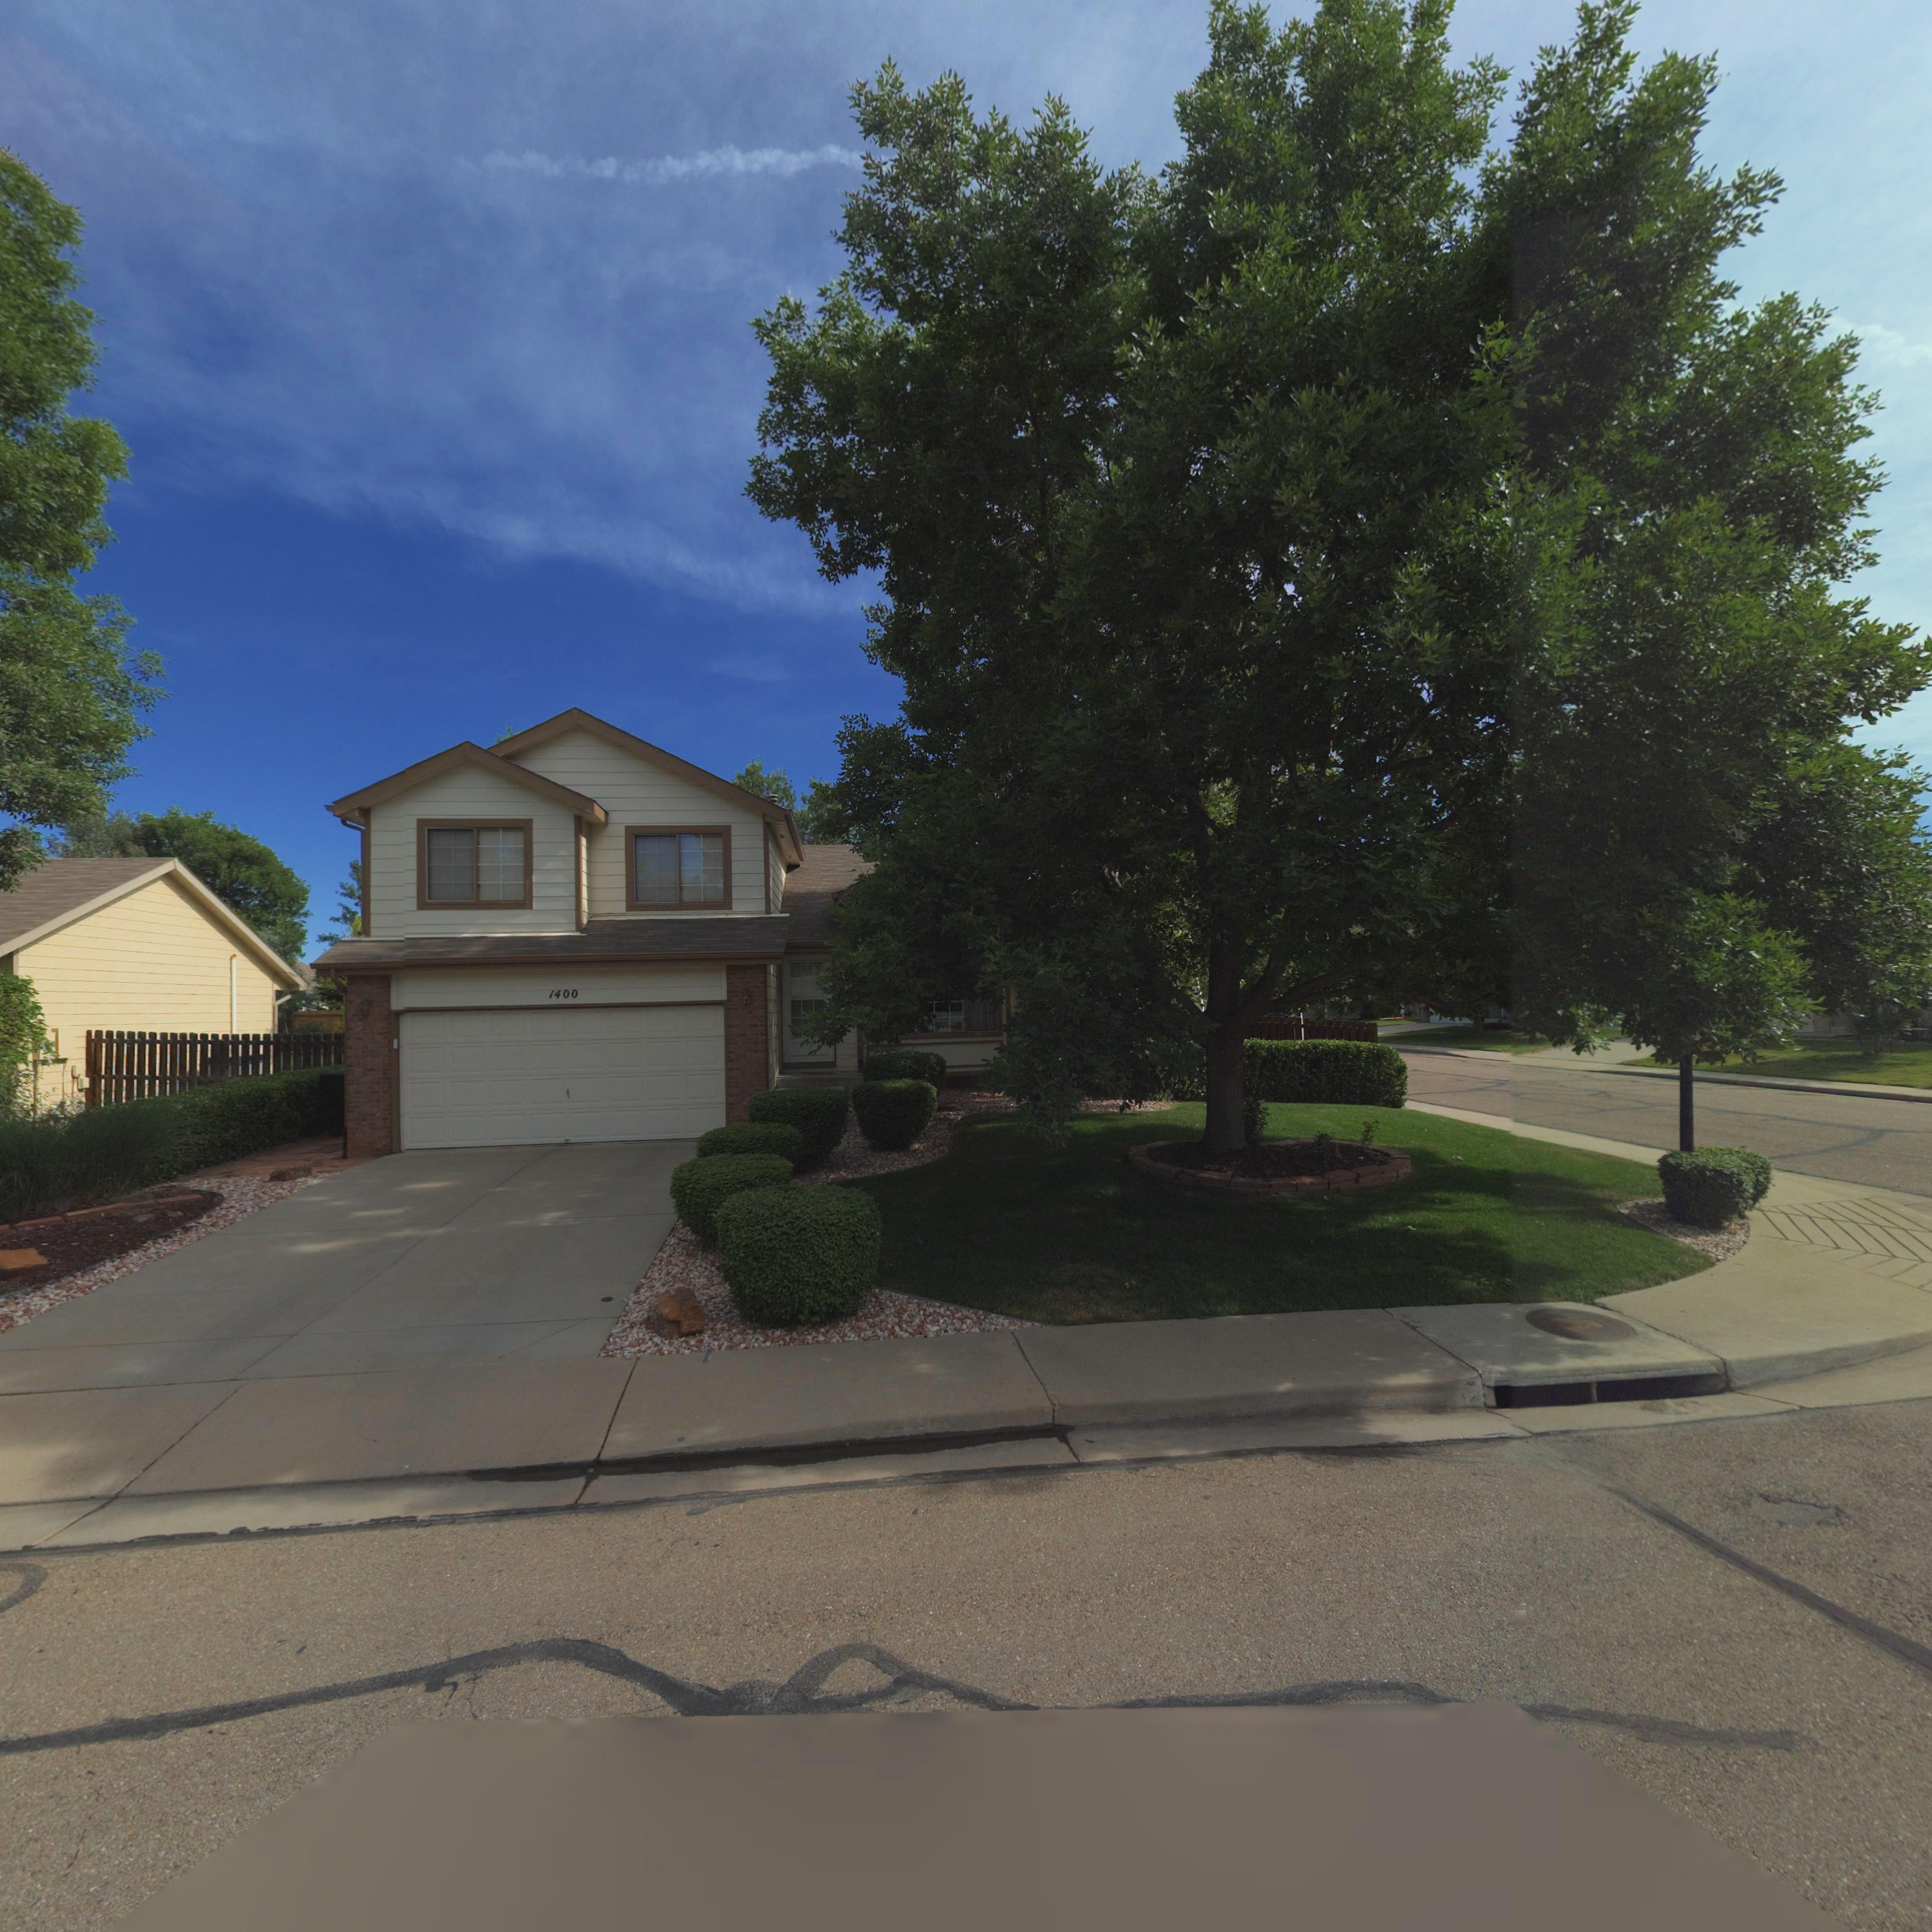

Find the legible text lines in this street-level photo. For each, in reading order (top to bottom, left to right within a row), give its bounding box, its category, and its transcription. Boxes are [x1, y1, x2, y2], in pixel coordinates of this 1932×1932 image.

[549, 989, 579, 999] StreetNumber: 1400